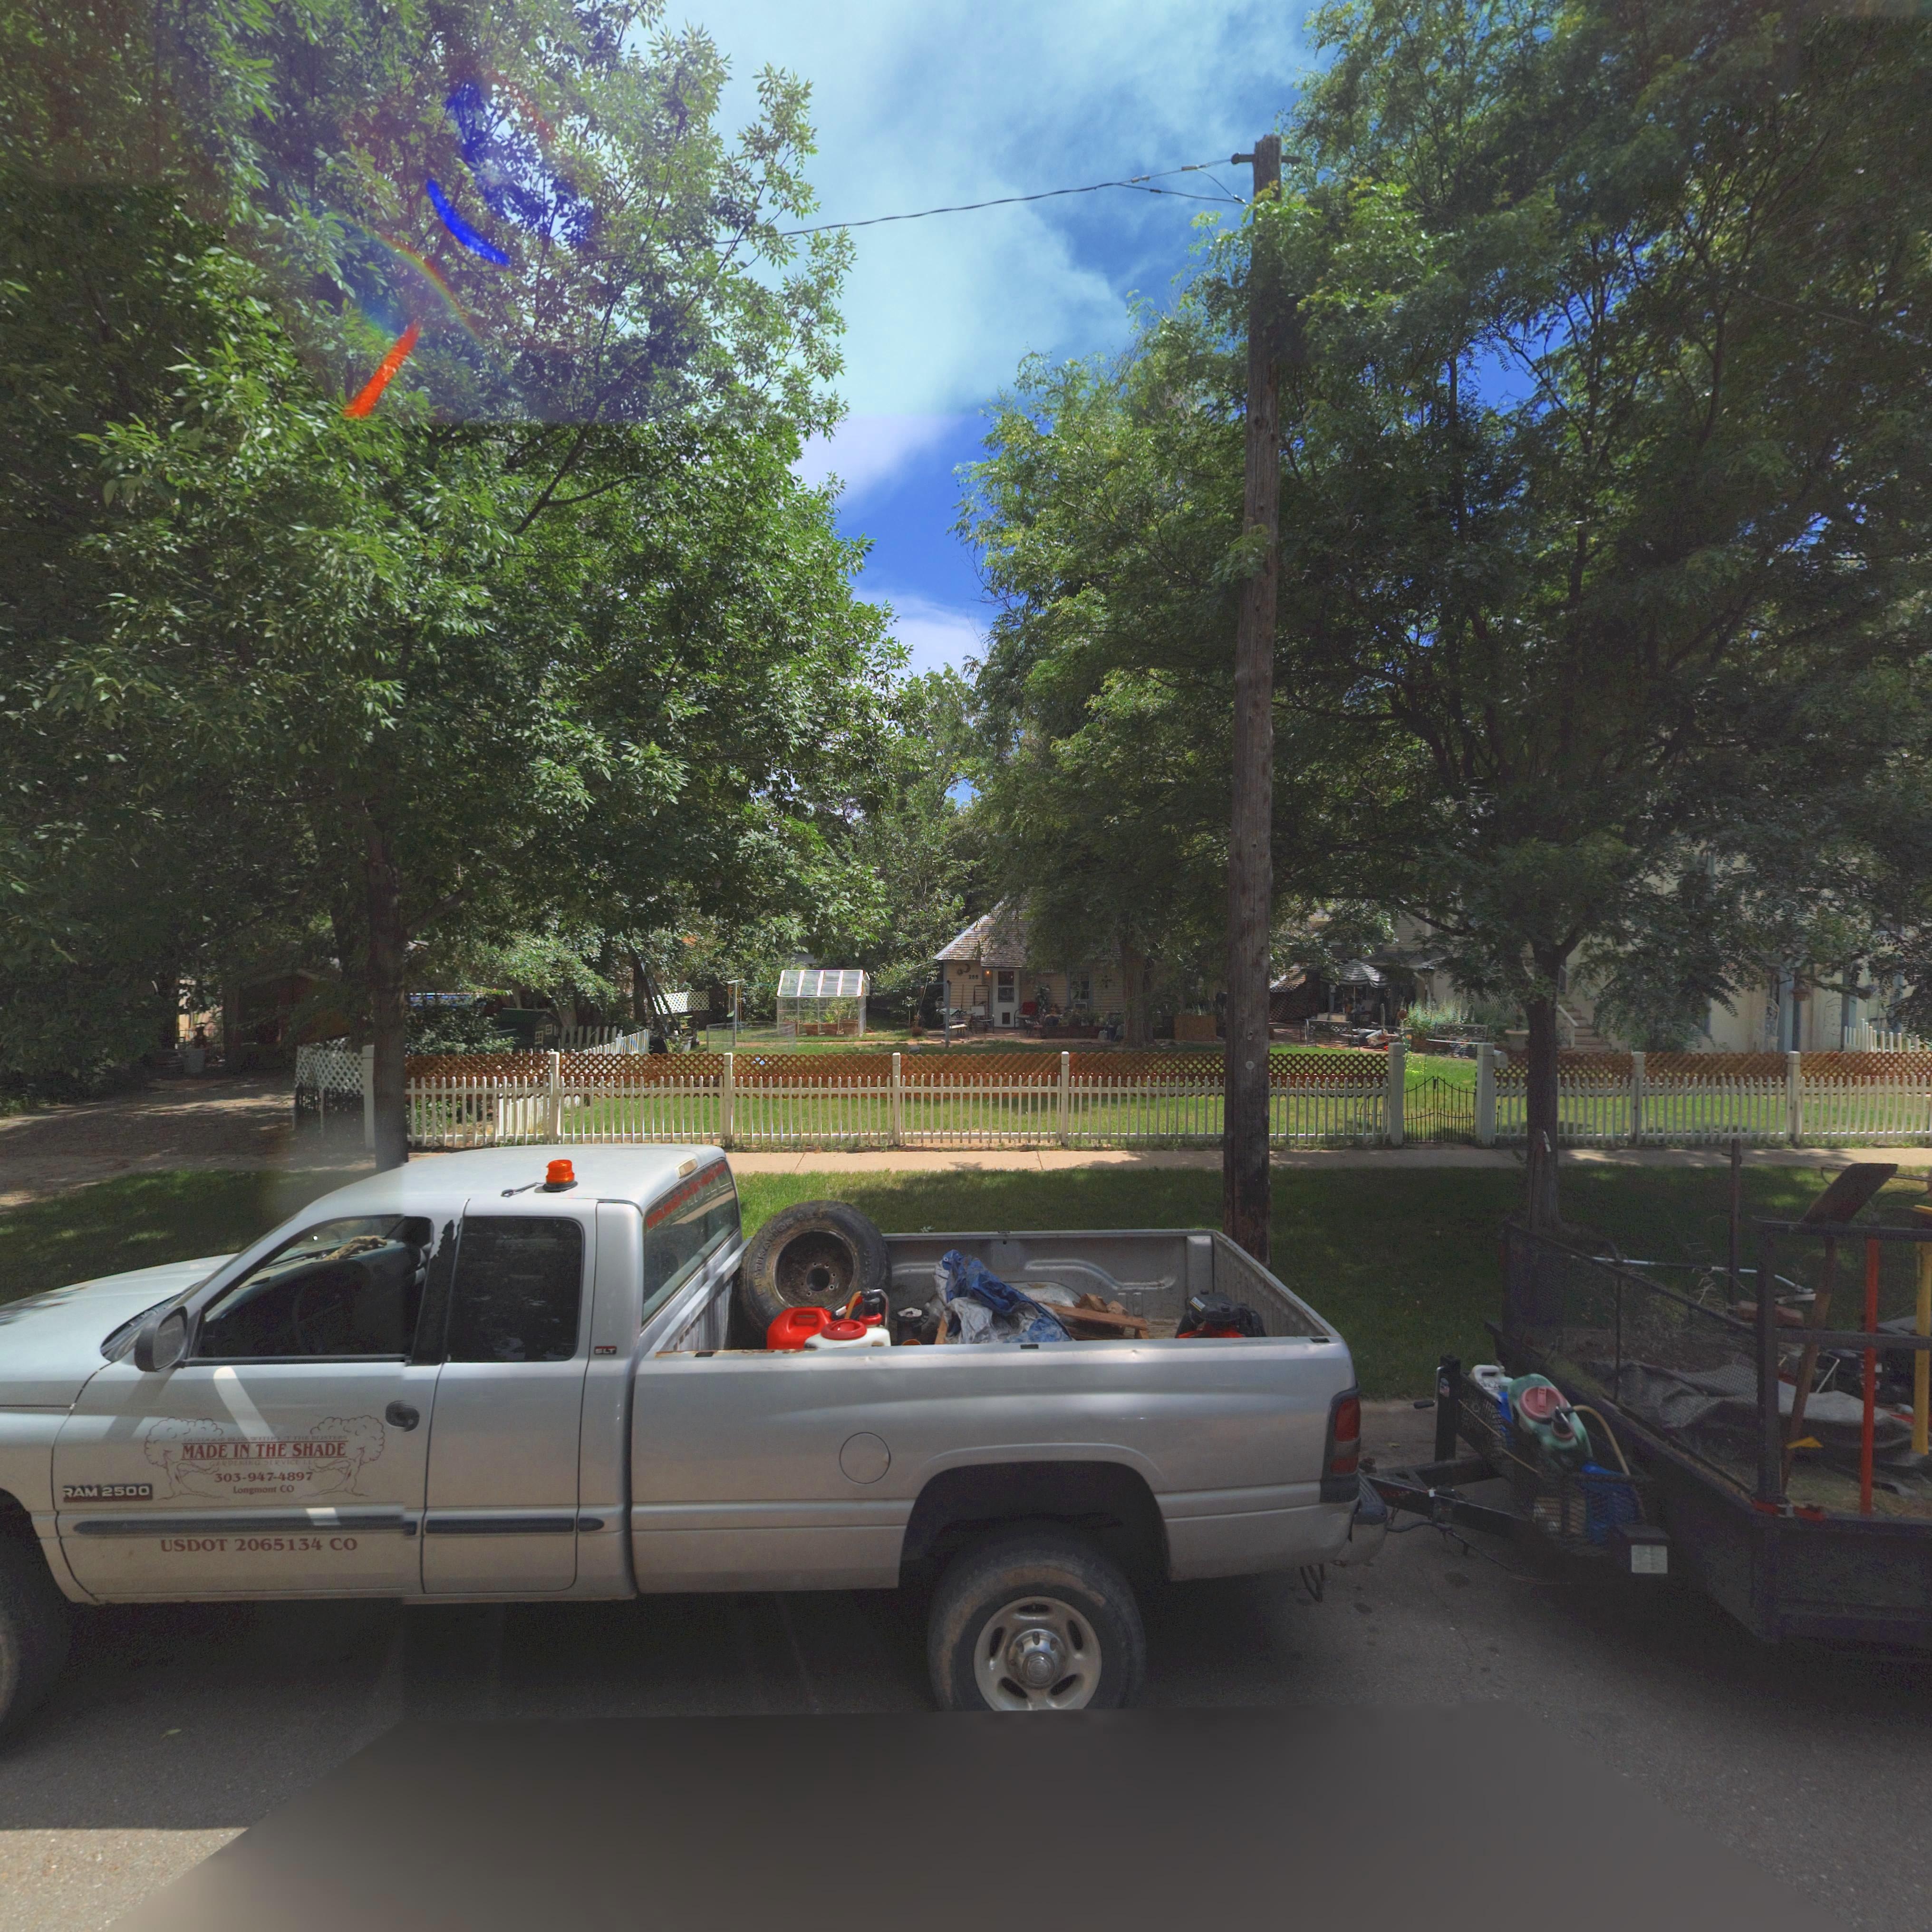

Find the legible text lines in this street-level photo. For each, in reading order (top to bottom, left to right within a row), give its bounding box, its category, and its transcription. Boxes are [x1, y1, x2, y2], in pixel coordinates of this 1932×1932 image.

[968, 974, 978, 979] StreetNumber: 255